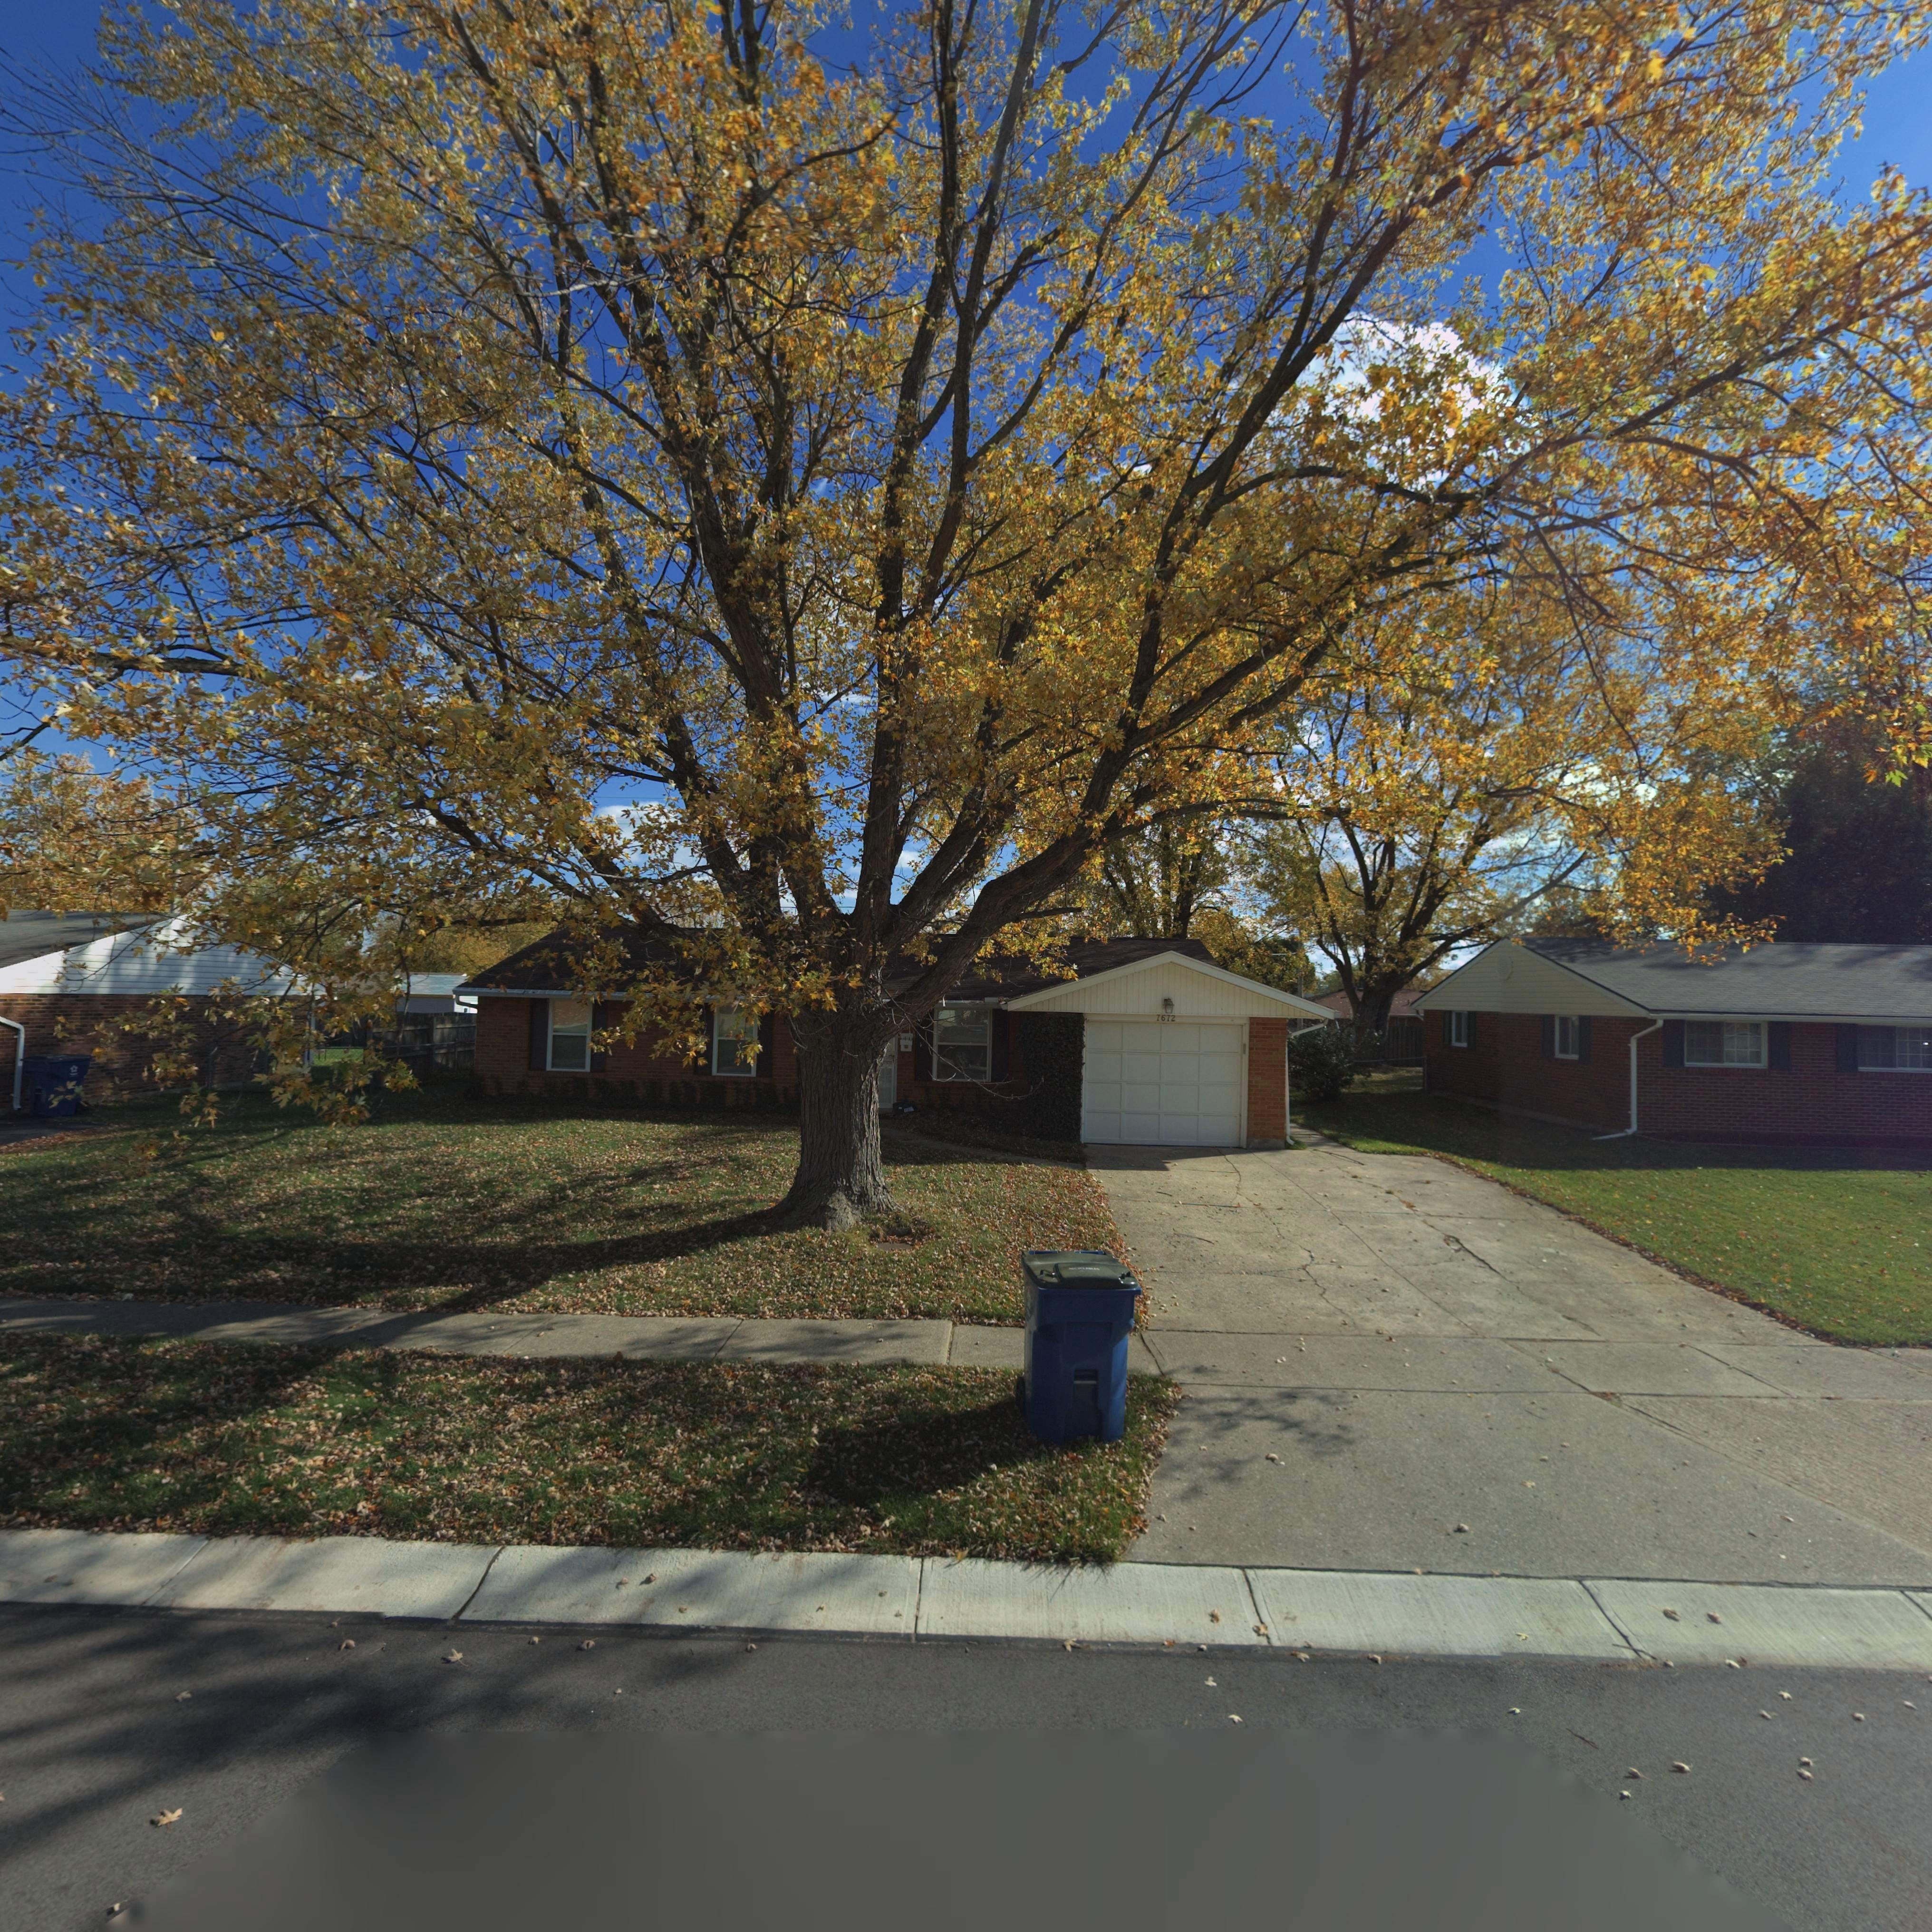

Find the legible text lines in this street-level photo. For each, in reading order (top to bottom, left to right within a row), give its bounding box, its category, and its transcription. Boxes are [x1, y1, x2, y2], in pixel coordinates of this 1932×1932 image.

[1155, 1014, 1177, 1023] StreetNumber: 7672